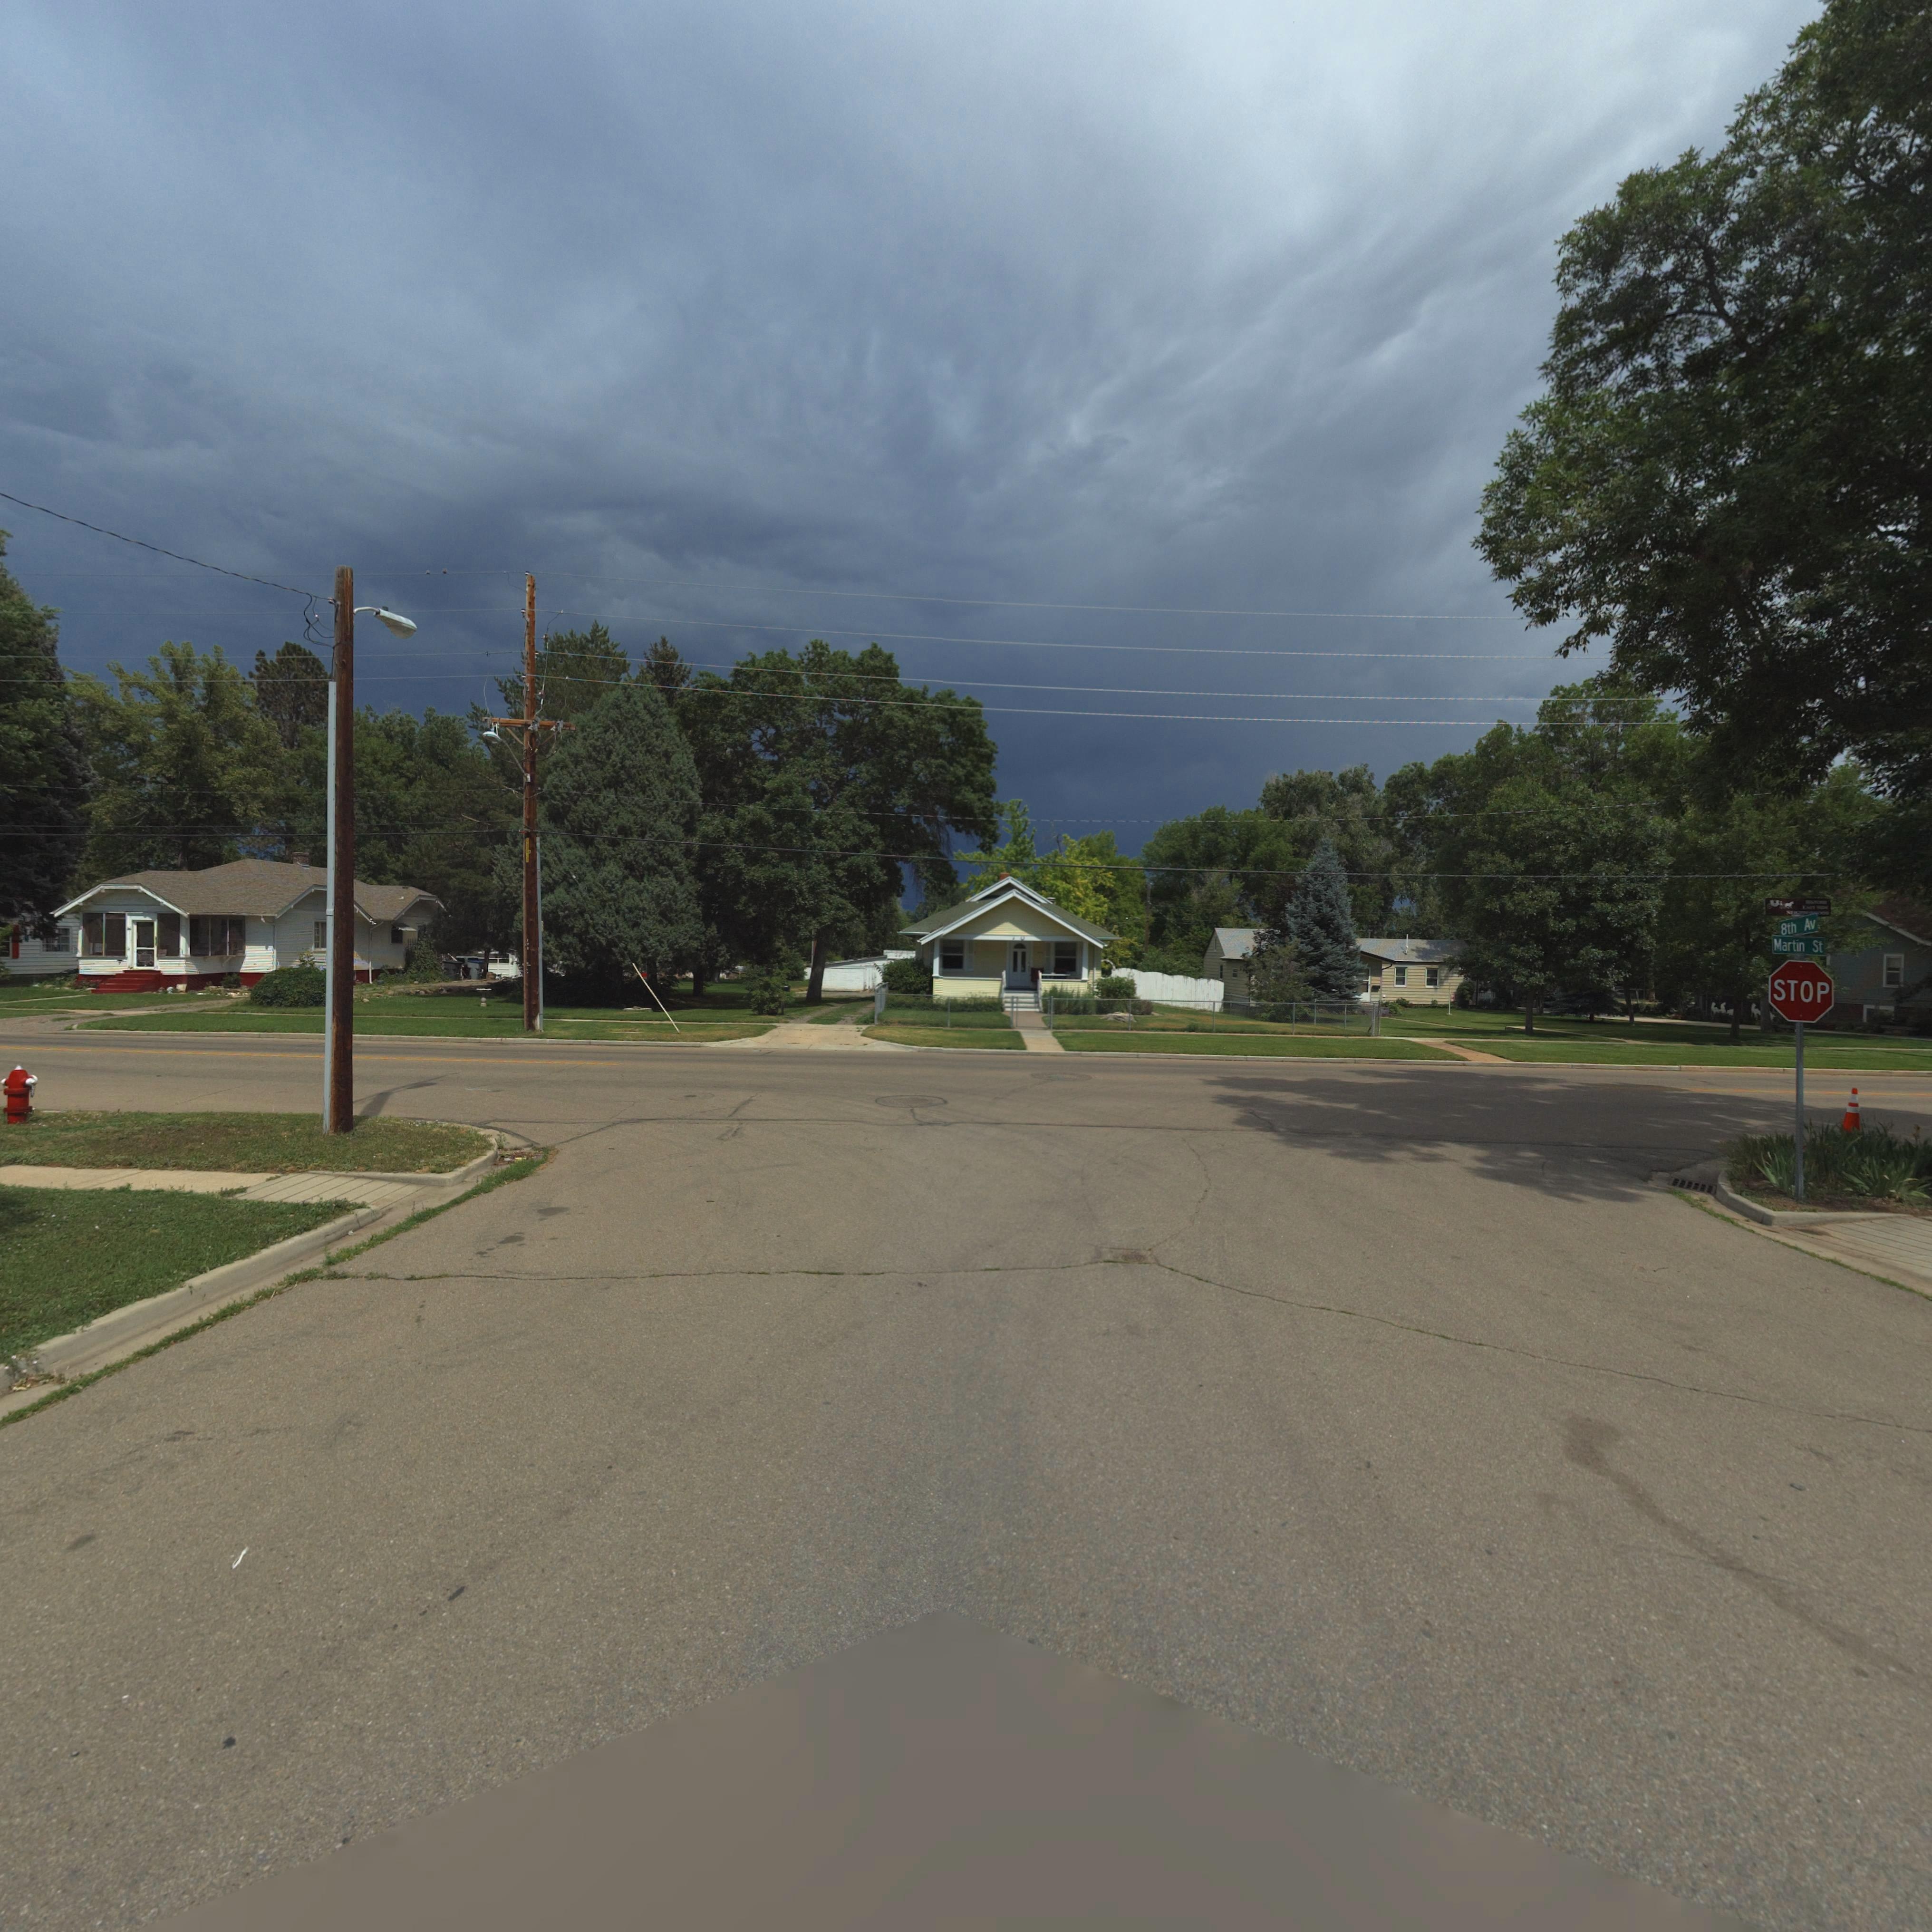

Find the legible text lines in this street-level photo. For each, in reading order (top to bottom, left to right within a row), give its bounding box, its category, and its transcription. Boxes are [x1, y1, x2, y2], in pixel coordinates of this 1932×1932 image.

[1780, 917, 1816, 936] BusinessName: 8th Av
[1774, 937, 1824, 953] StreetName: Martin St